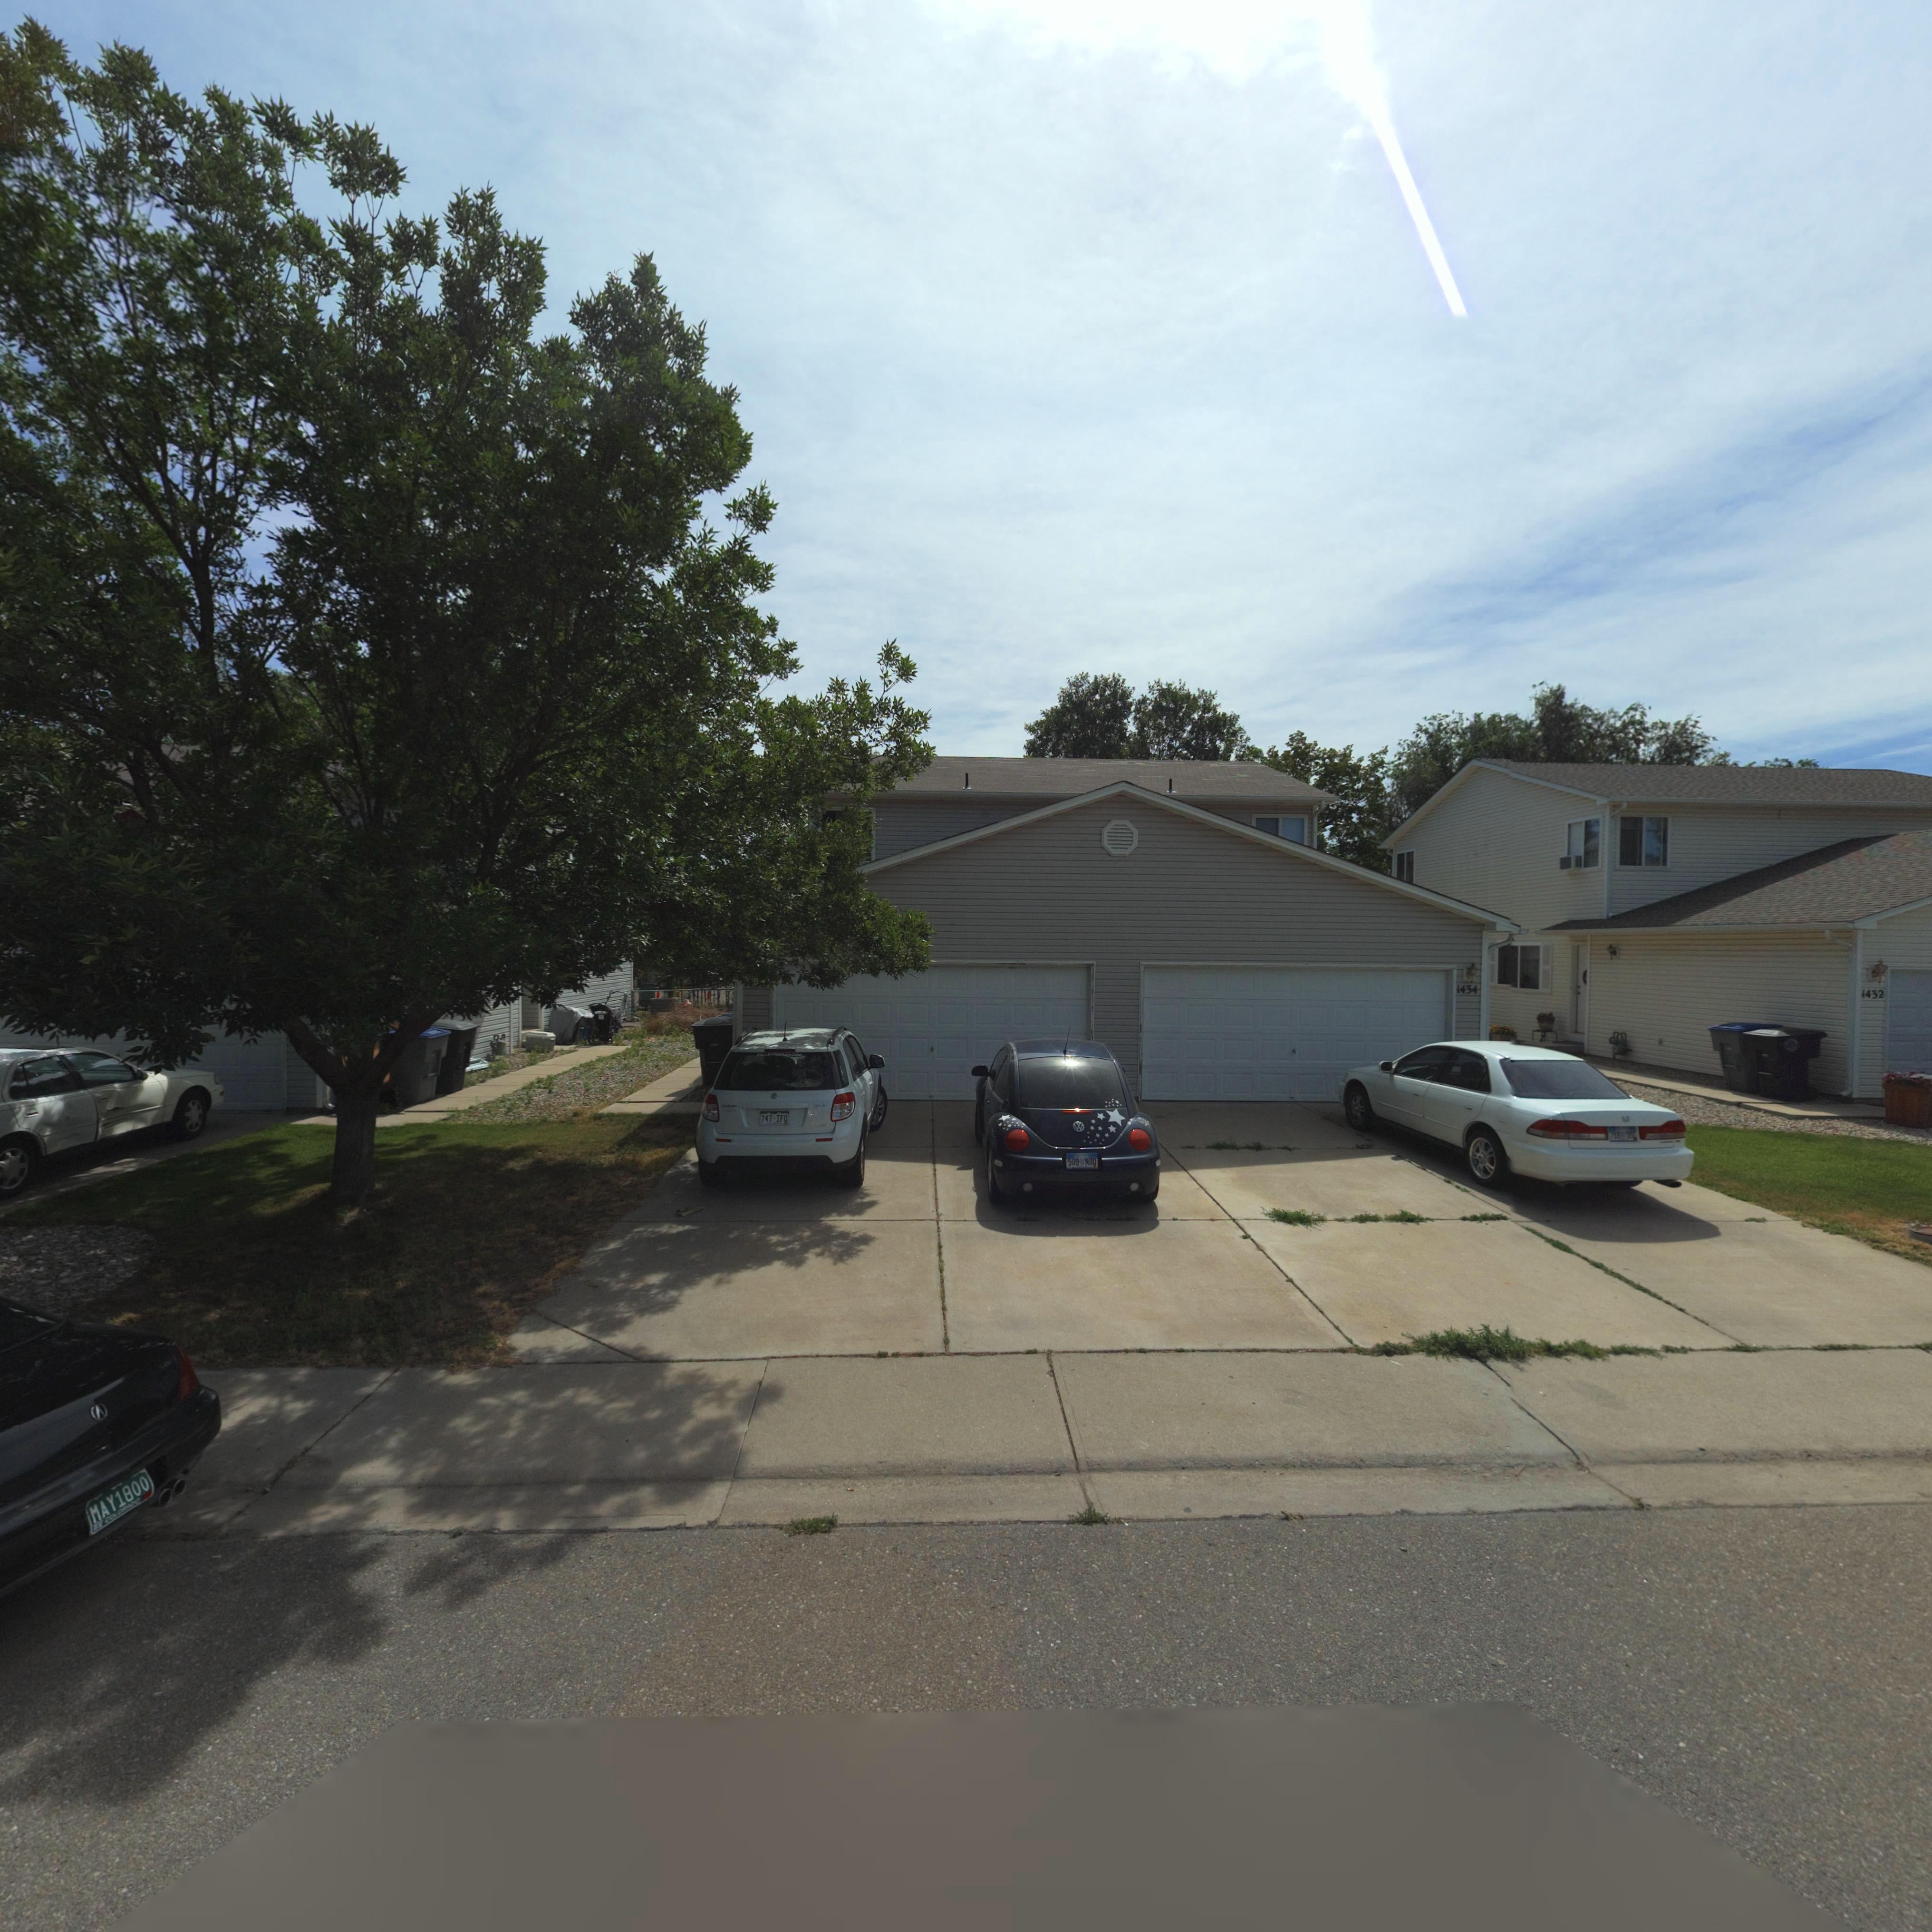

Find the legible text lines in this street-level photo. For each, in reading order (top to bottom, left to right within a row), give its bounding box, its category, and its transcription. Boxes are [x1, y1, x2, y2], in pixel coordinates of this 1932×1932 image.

[1457, 985, 1477, 994] StreetNumber: 1434
[1861, 989, 1884, 999] StreetNumber: 1432